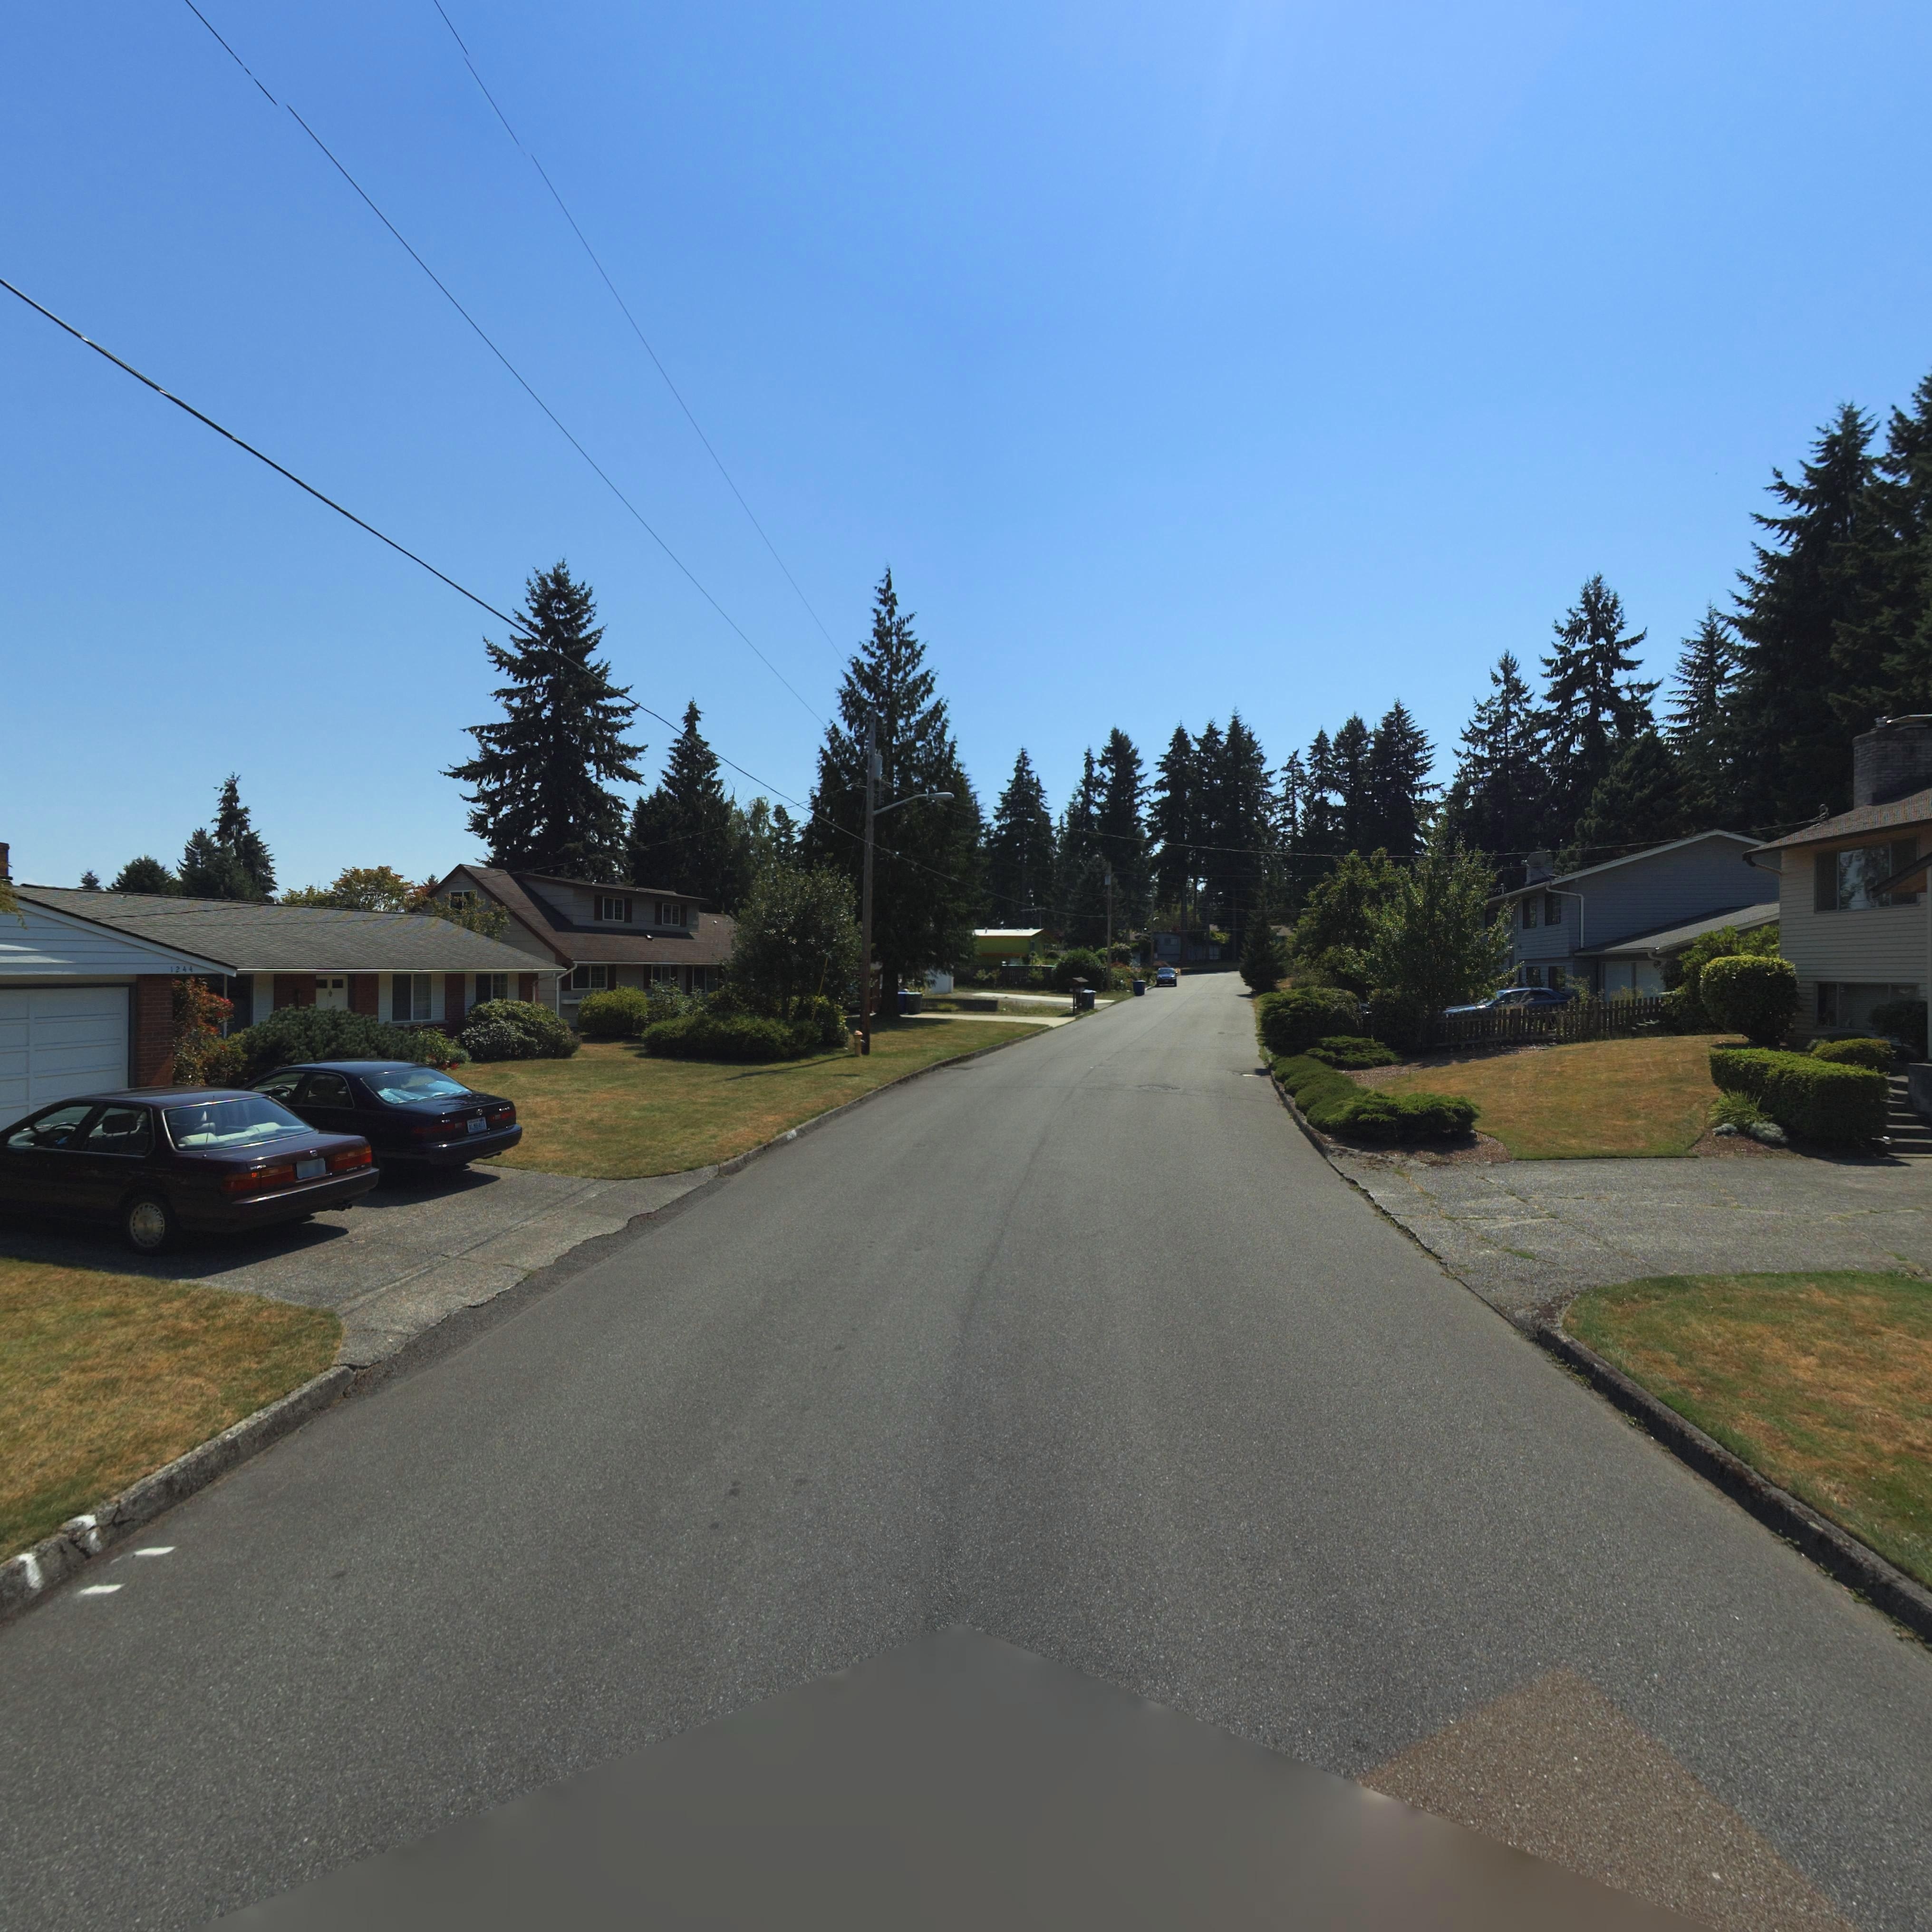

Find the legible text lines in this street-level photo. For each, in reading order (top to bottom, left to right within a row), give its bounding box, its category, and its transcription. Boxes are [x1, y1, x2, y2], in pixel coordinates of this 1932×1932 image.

[168, 964, 195, 974] StreetNumber: 1244